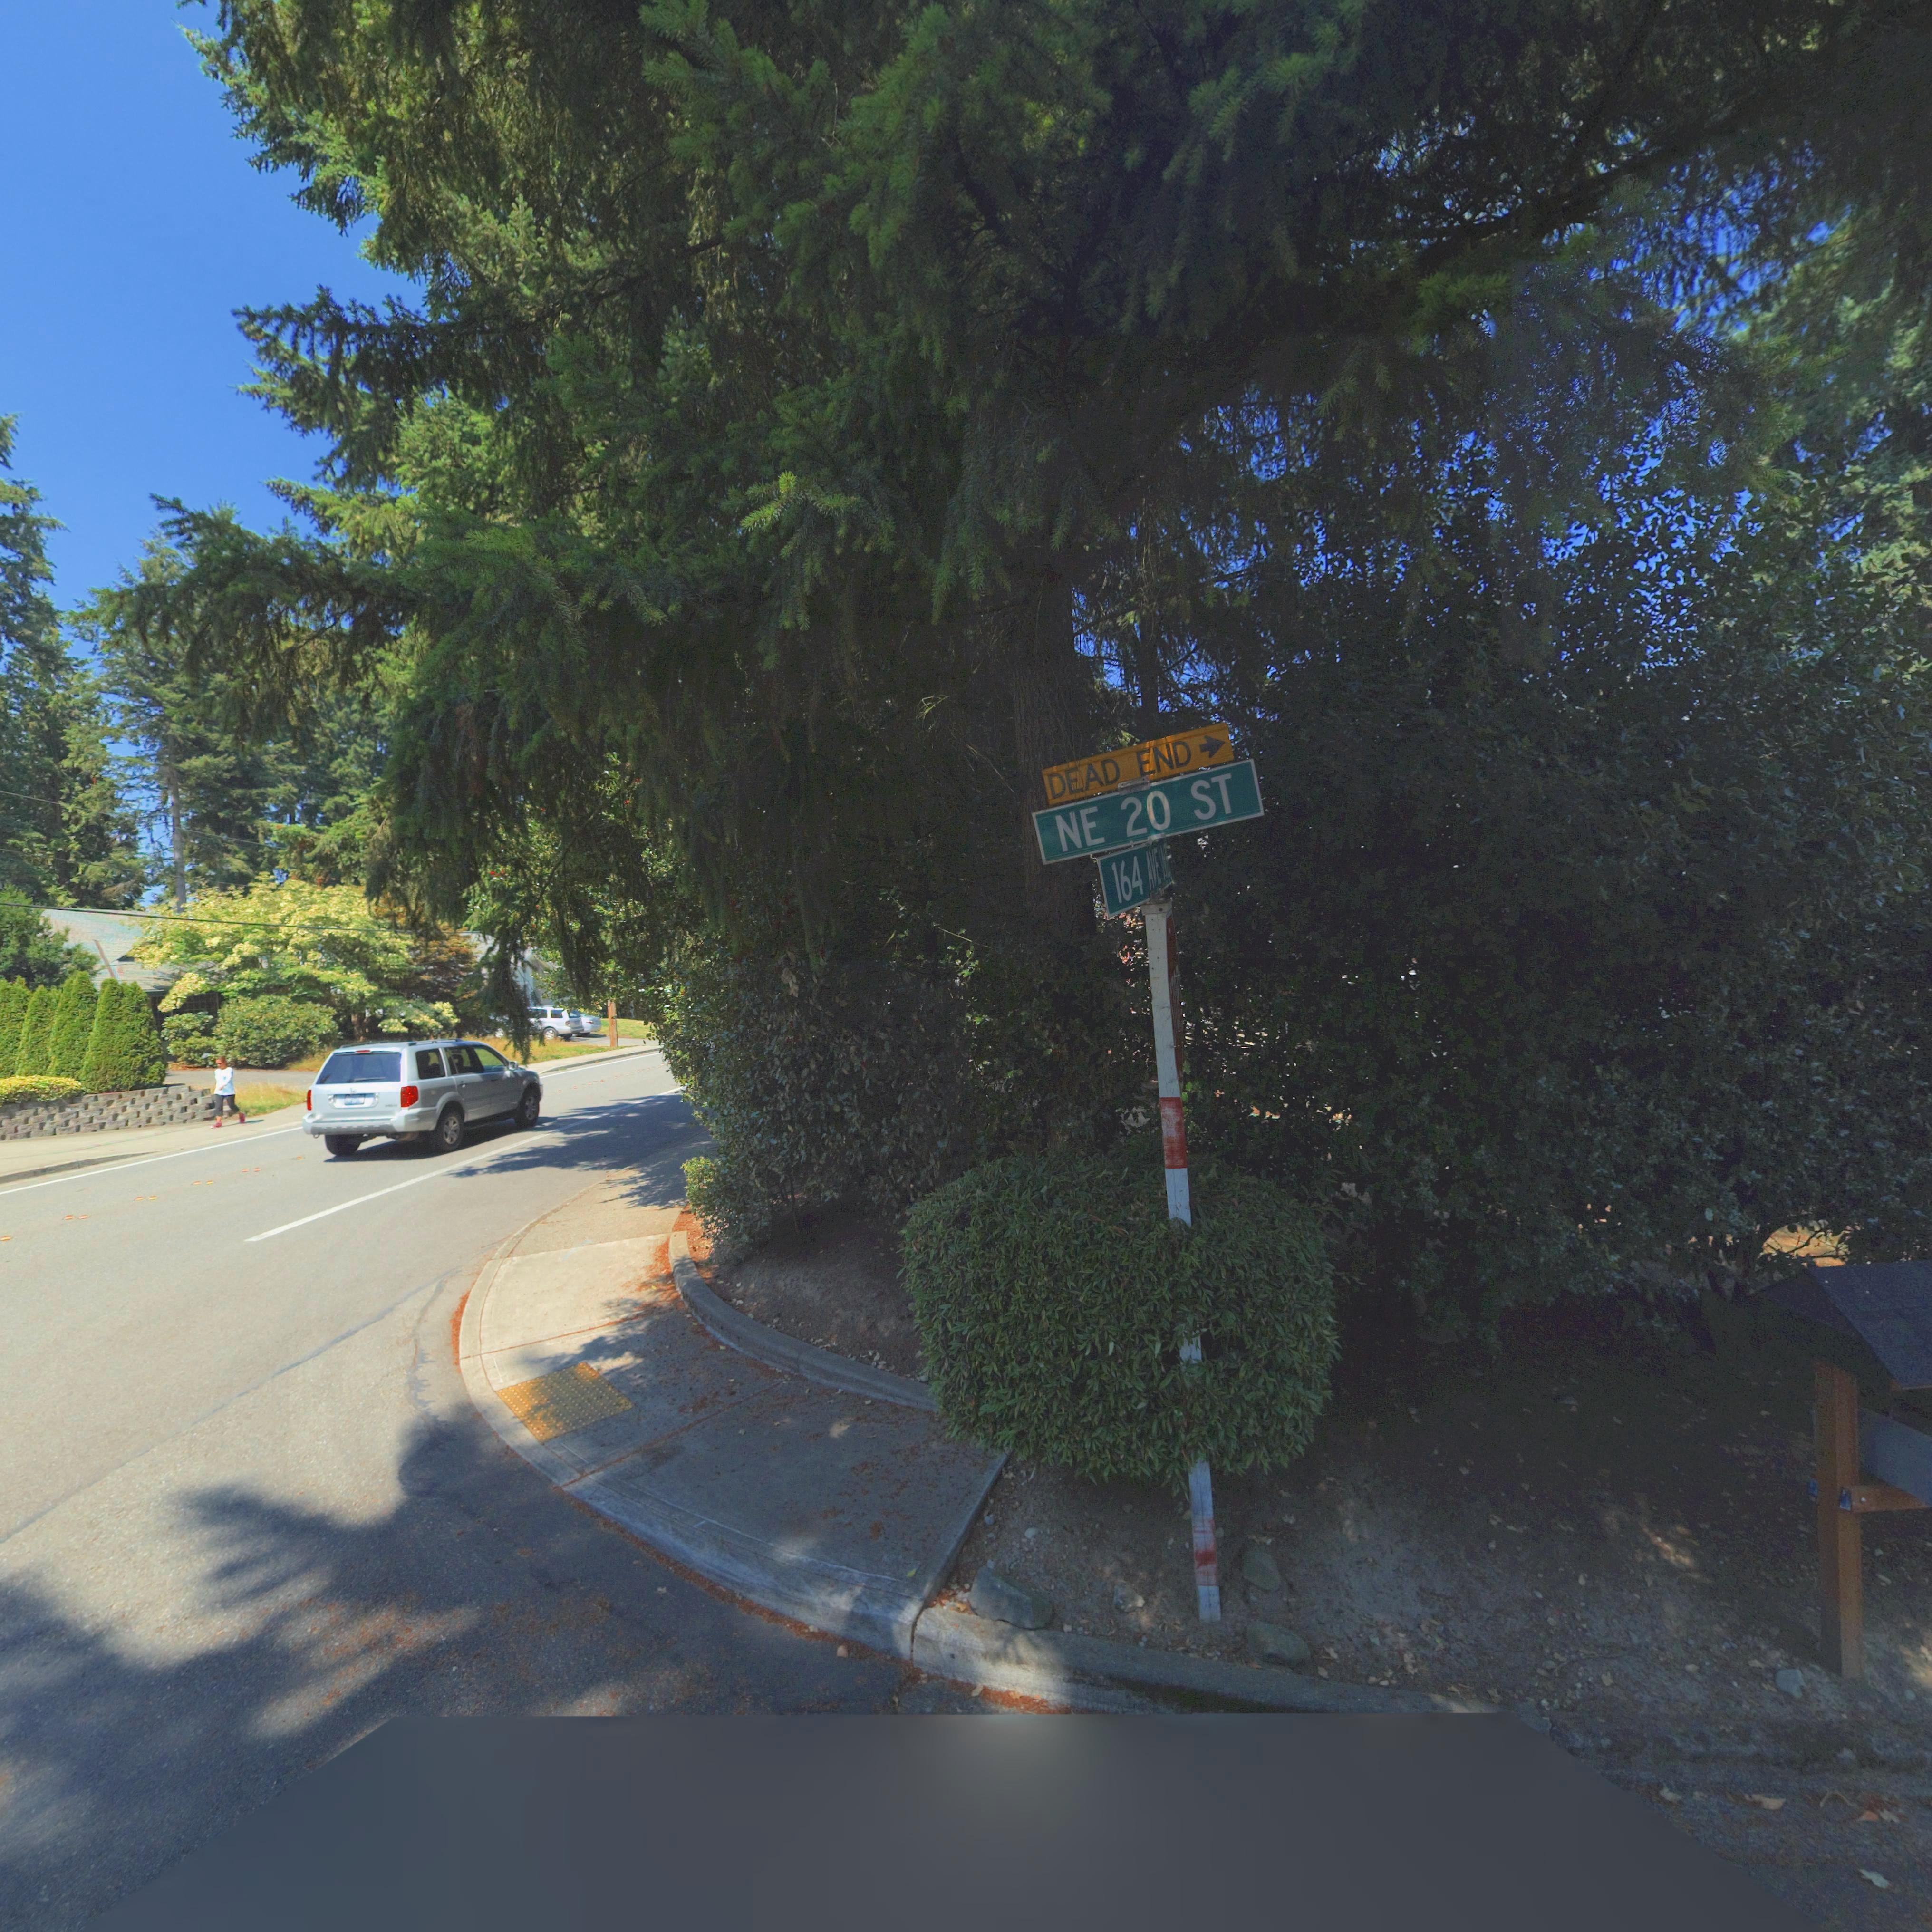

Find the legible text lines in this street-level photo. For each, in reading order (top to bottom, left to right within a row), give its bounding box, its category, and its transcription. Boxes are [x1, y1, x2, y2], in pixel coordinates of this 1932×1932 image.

[1054, 773, 1239, 852] StreetName: NE 20 ST
[1109, 843, 1172, 904] StreetName: 164 AVE *